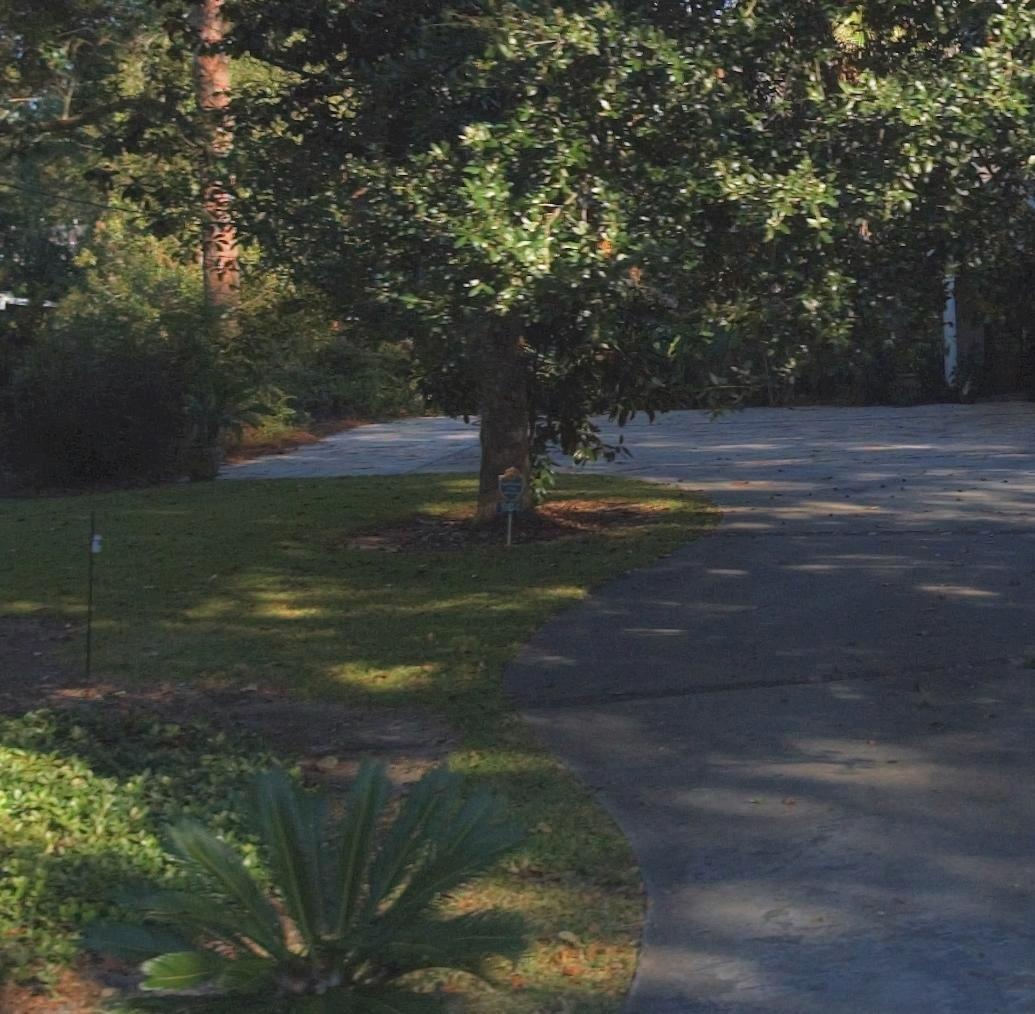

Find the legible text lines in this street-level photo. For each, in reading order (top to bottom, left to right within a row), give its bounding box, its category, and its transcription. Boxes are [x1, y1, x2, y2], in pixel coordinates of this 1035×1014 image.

[500, 500, 522, 514] StreetNumber: 904